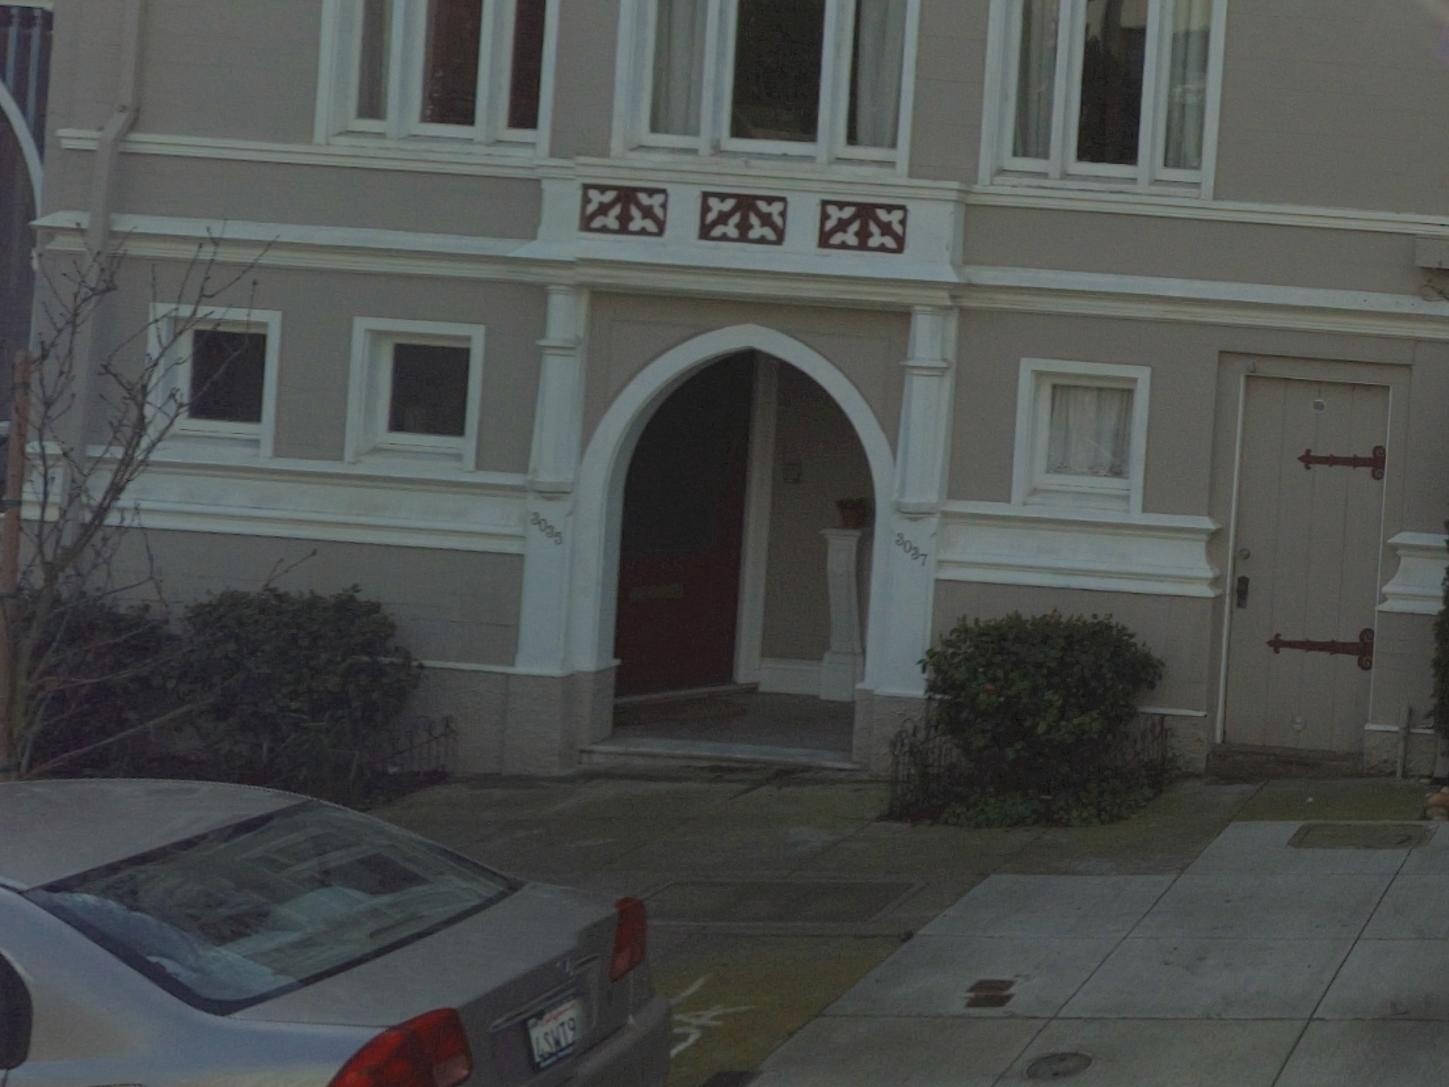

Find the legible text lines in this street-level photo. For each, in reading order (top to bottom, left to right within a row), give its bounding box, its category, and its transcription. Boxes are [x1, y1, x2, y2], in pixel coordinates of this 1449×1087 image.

[529, 509, 565, 547] StreetNumber: 3035
[891, 529, 931, 568] StreetNumber: 3037
[531, 1009, 581, 1066] None: 4SWT9